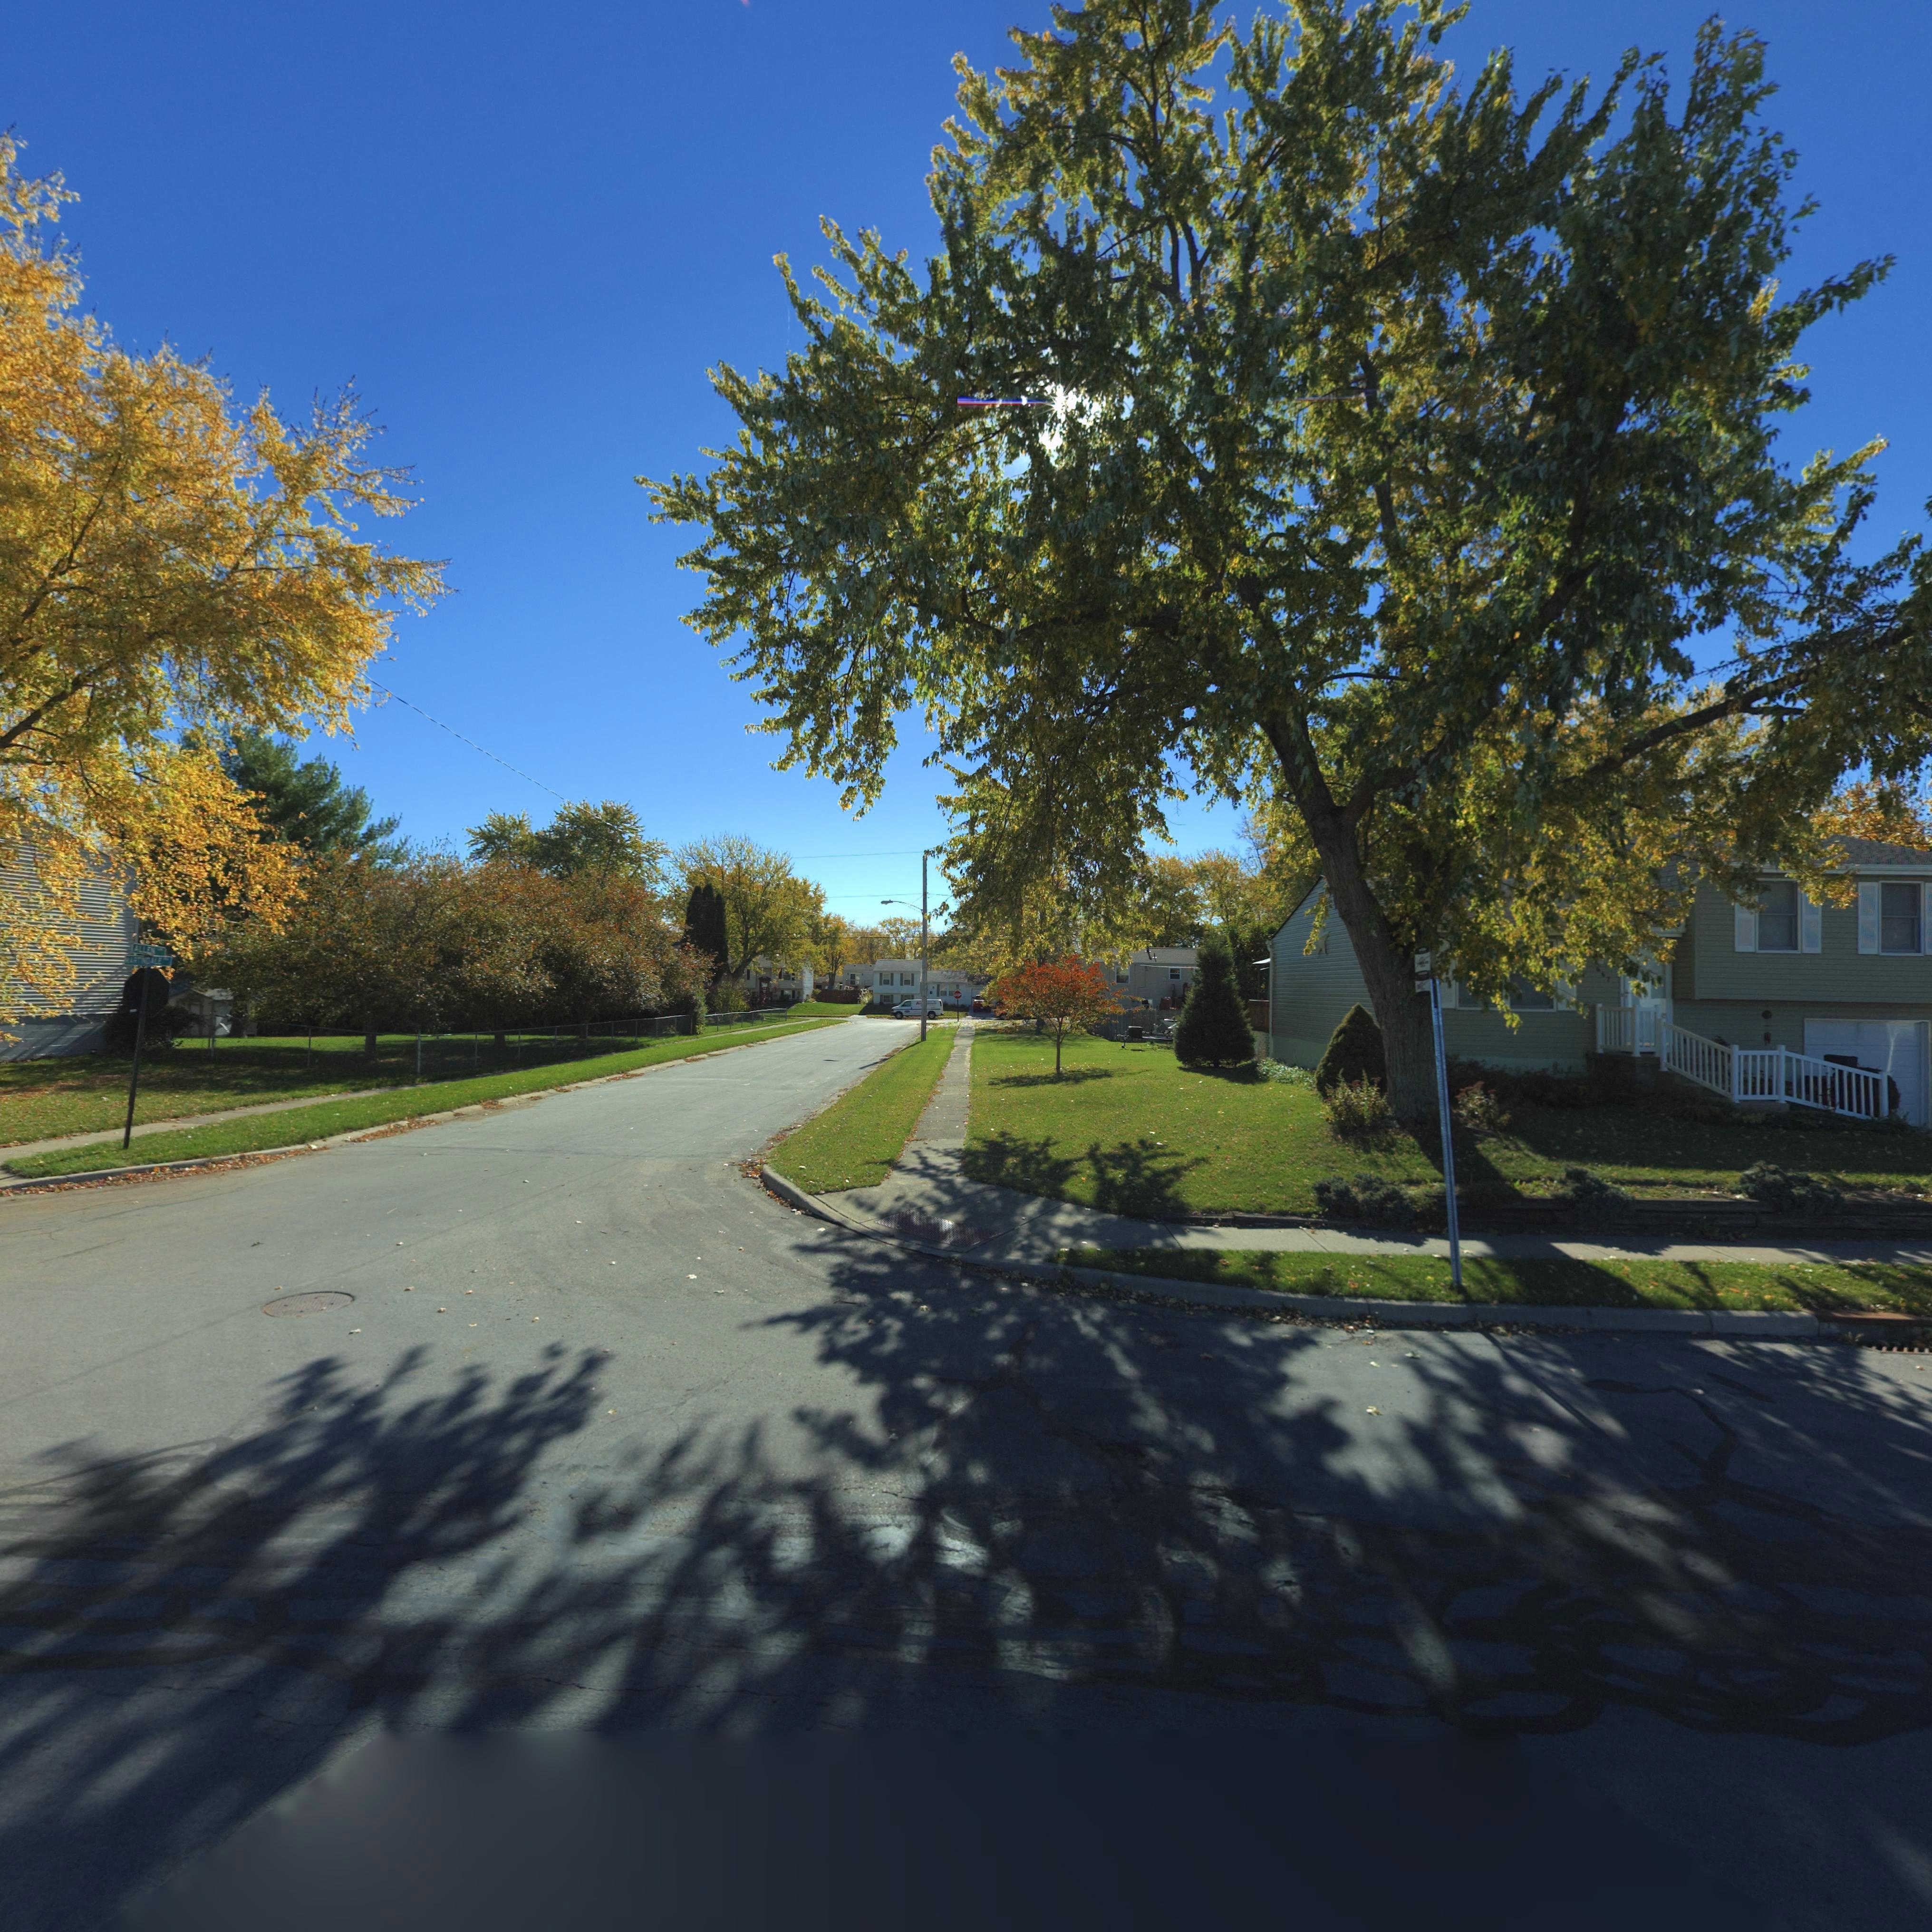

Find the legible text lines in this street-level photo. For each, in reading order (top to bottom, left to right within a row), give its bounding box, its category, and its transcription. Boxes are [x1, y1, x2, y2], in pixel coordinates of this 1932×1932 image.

[1595, 966, 1611, 983] StreetNumber: 667